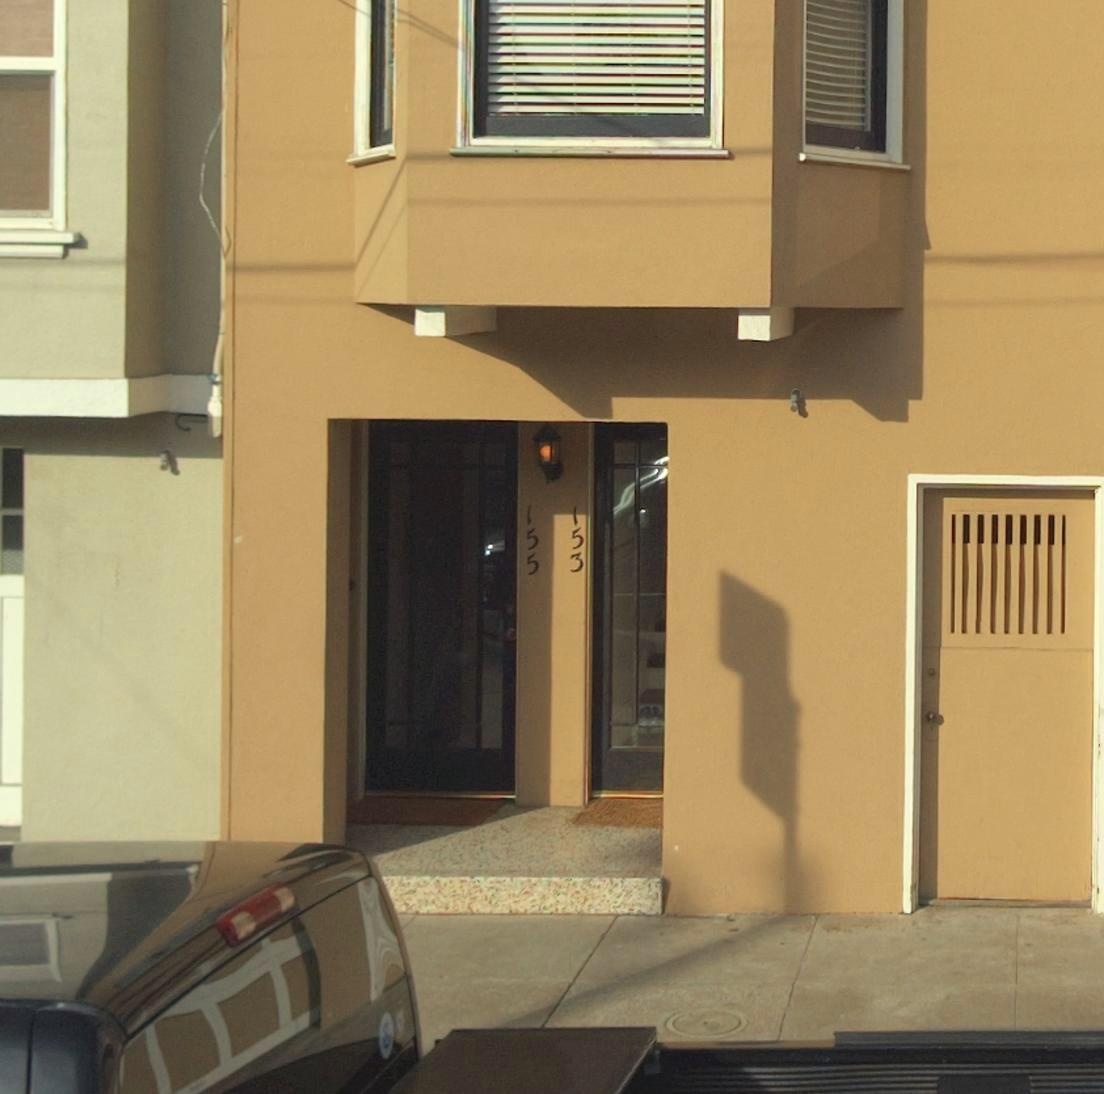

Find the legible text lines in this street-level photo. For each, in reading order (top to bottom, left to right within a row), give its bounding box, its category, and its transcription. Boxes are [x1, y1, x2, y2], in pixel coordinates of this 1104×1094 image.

[524, 501, 542, 578] StreetNumber: 155
[568, 503, 588, 576] StreetNumber: 153